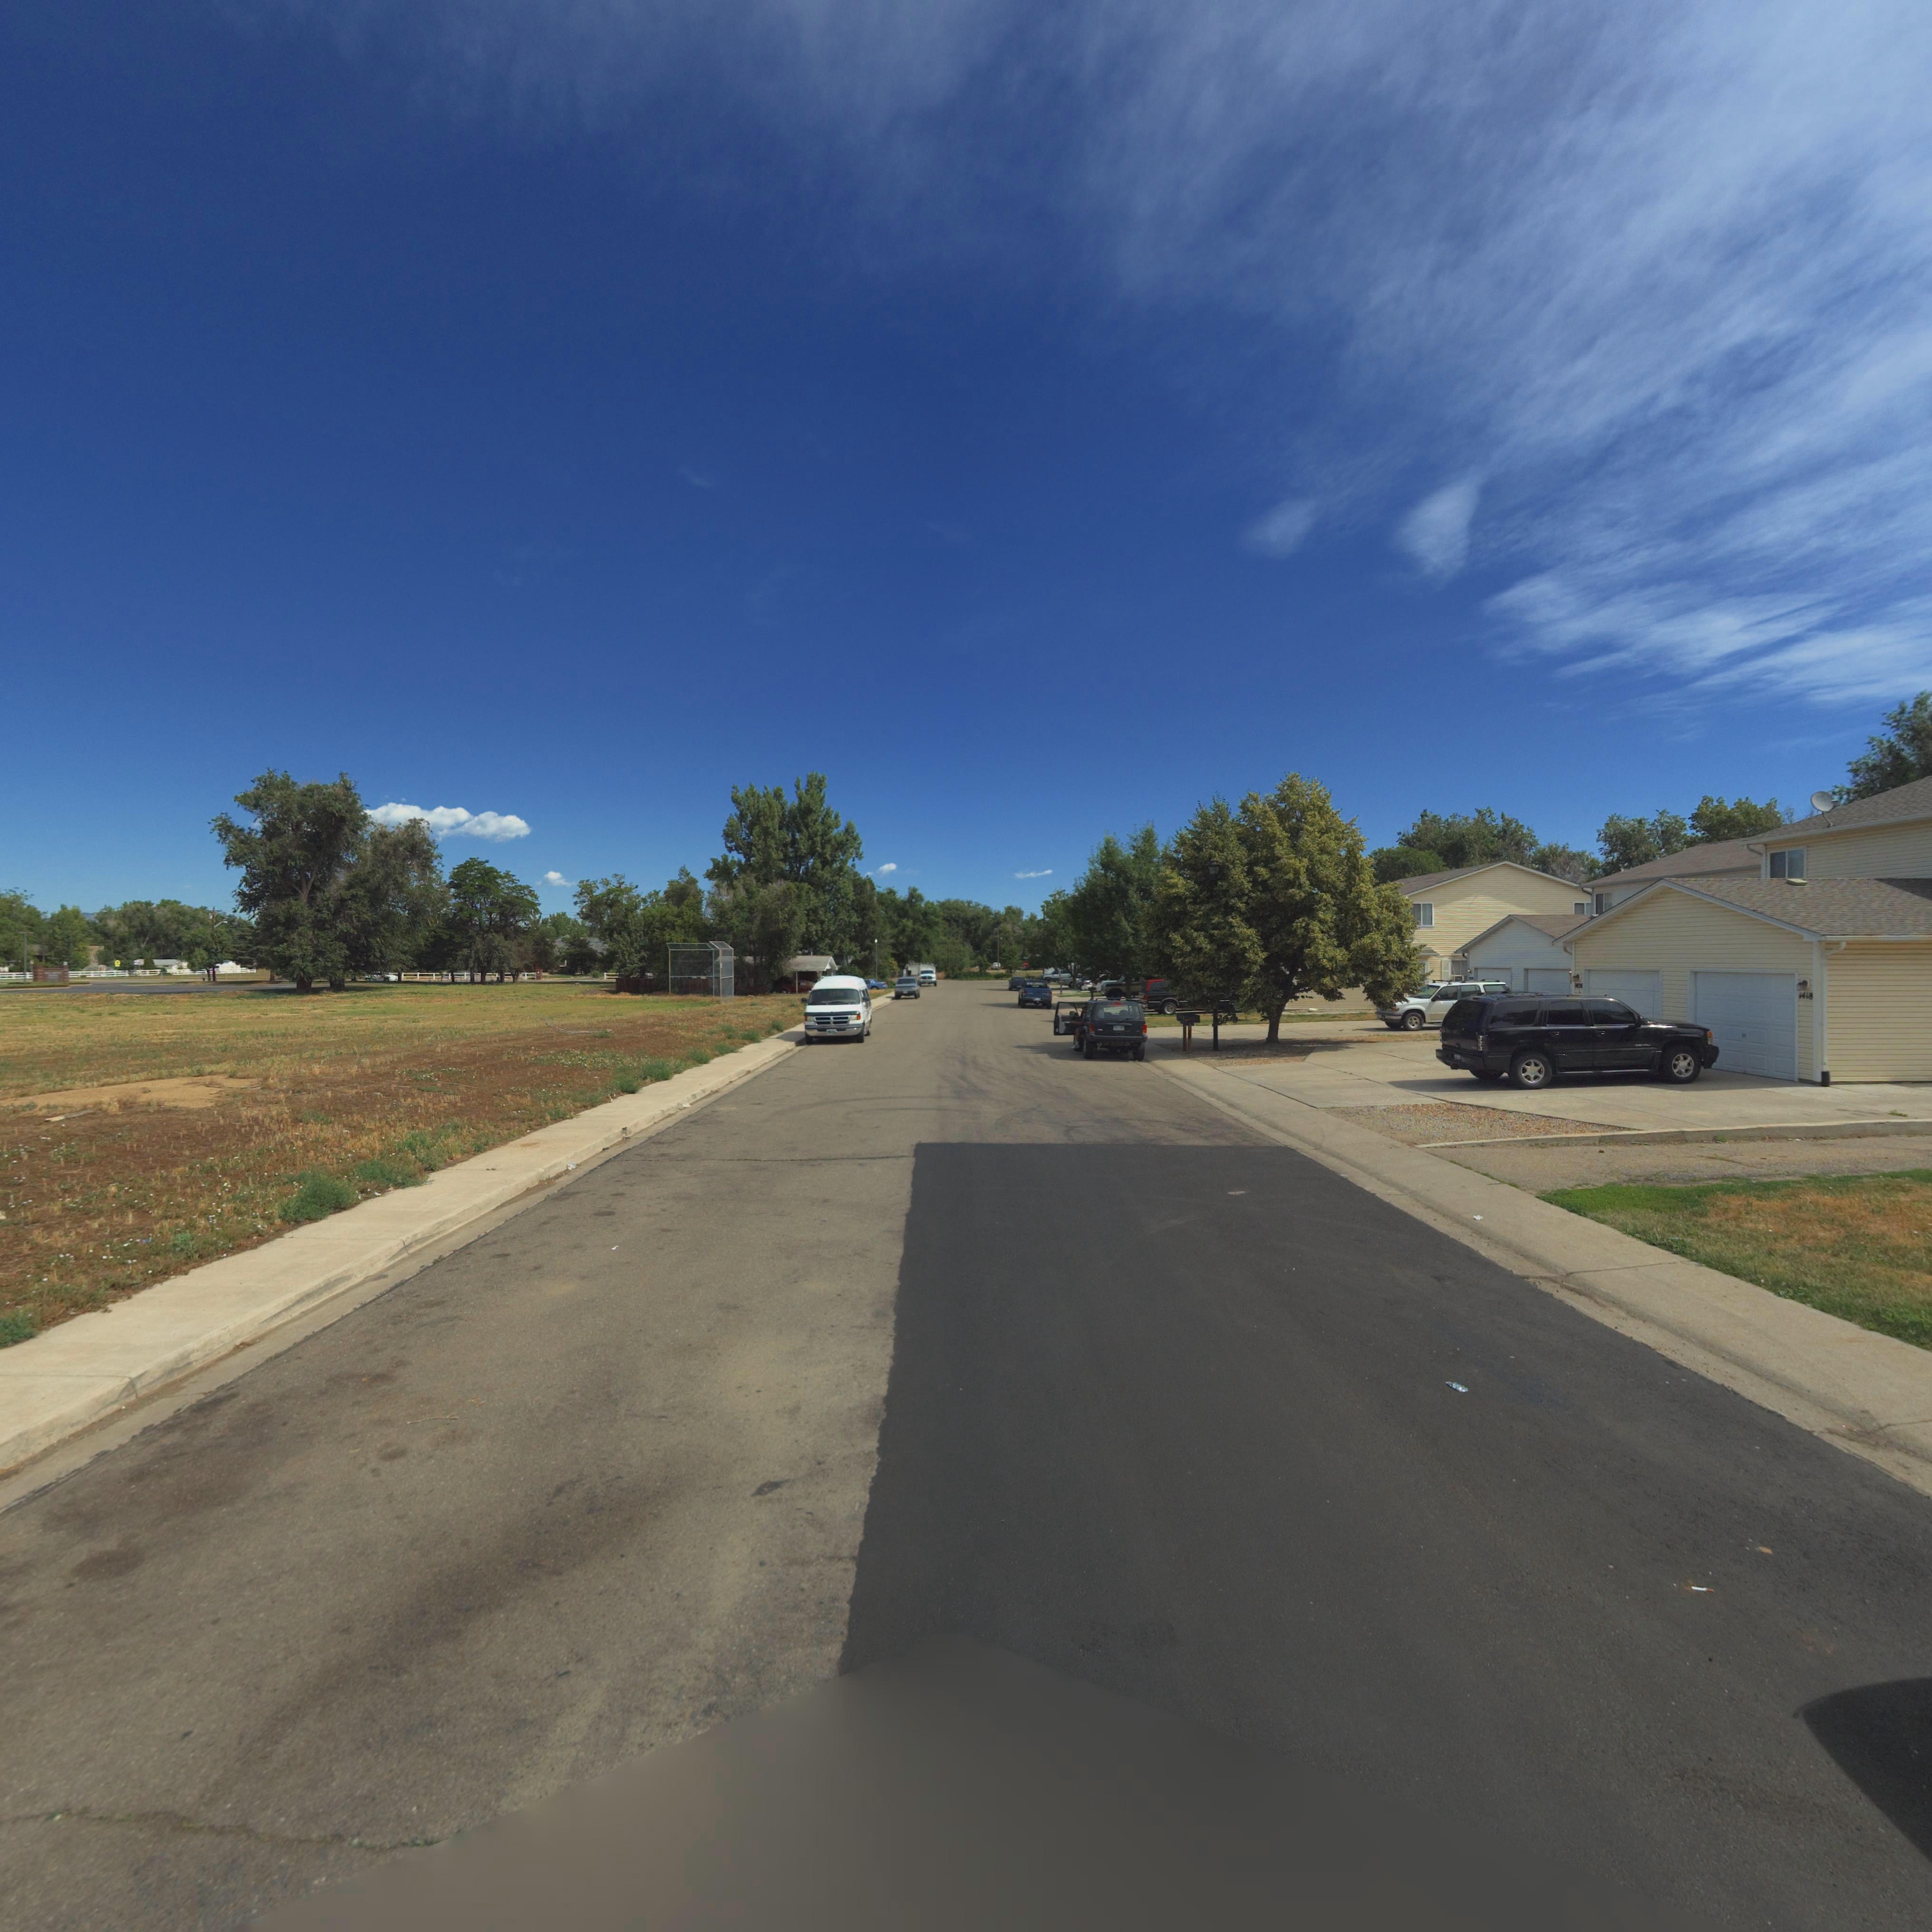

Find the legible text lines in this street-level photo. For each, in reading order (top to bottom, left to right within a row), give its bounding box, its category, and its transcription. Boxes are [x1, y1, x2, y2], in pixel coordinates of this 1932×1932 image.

[1797, 992, 1813, 1000] StreetNumber: 1418